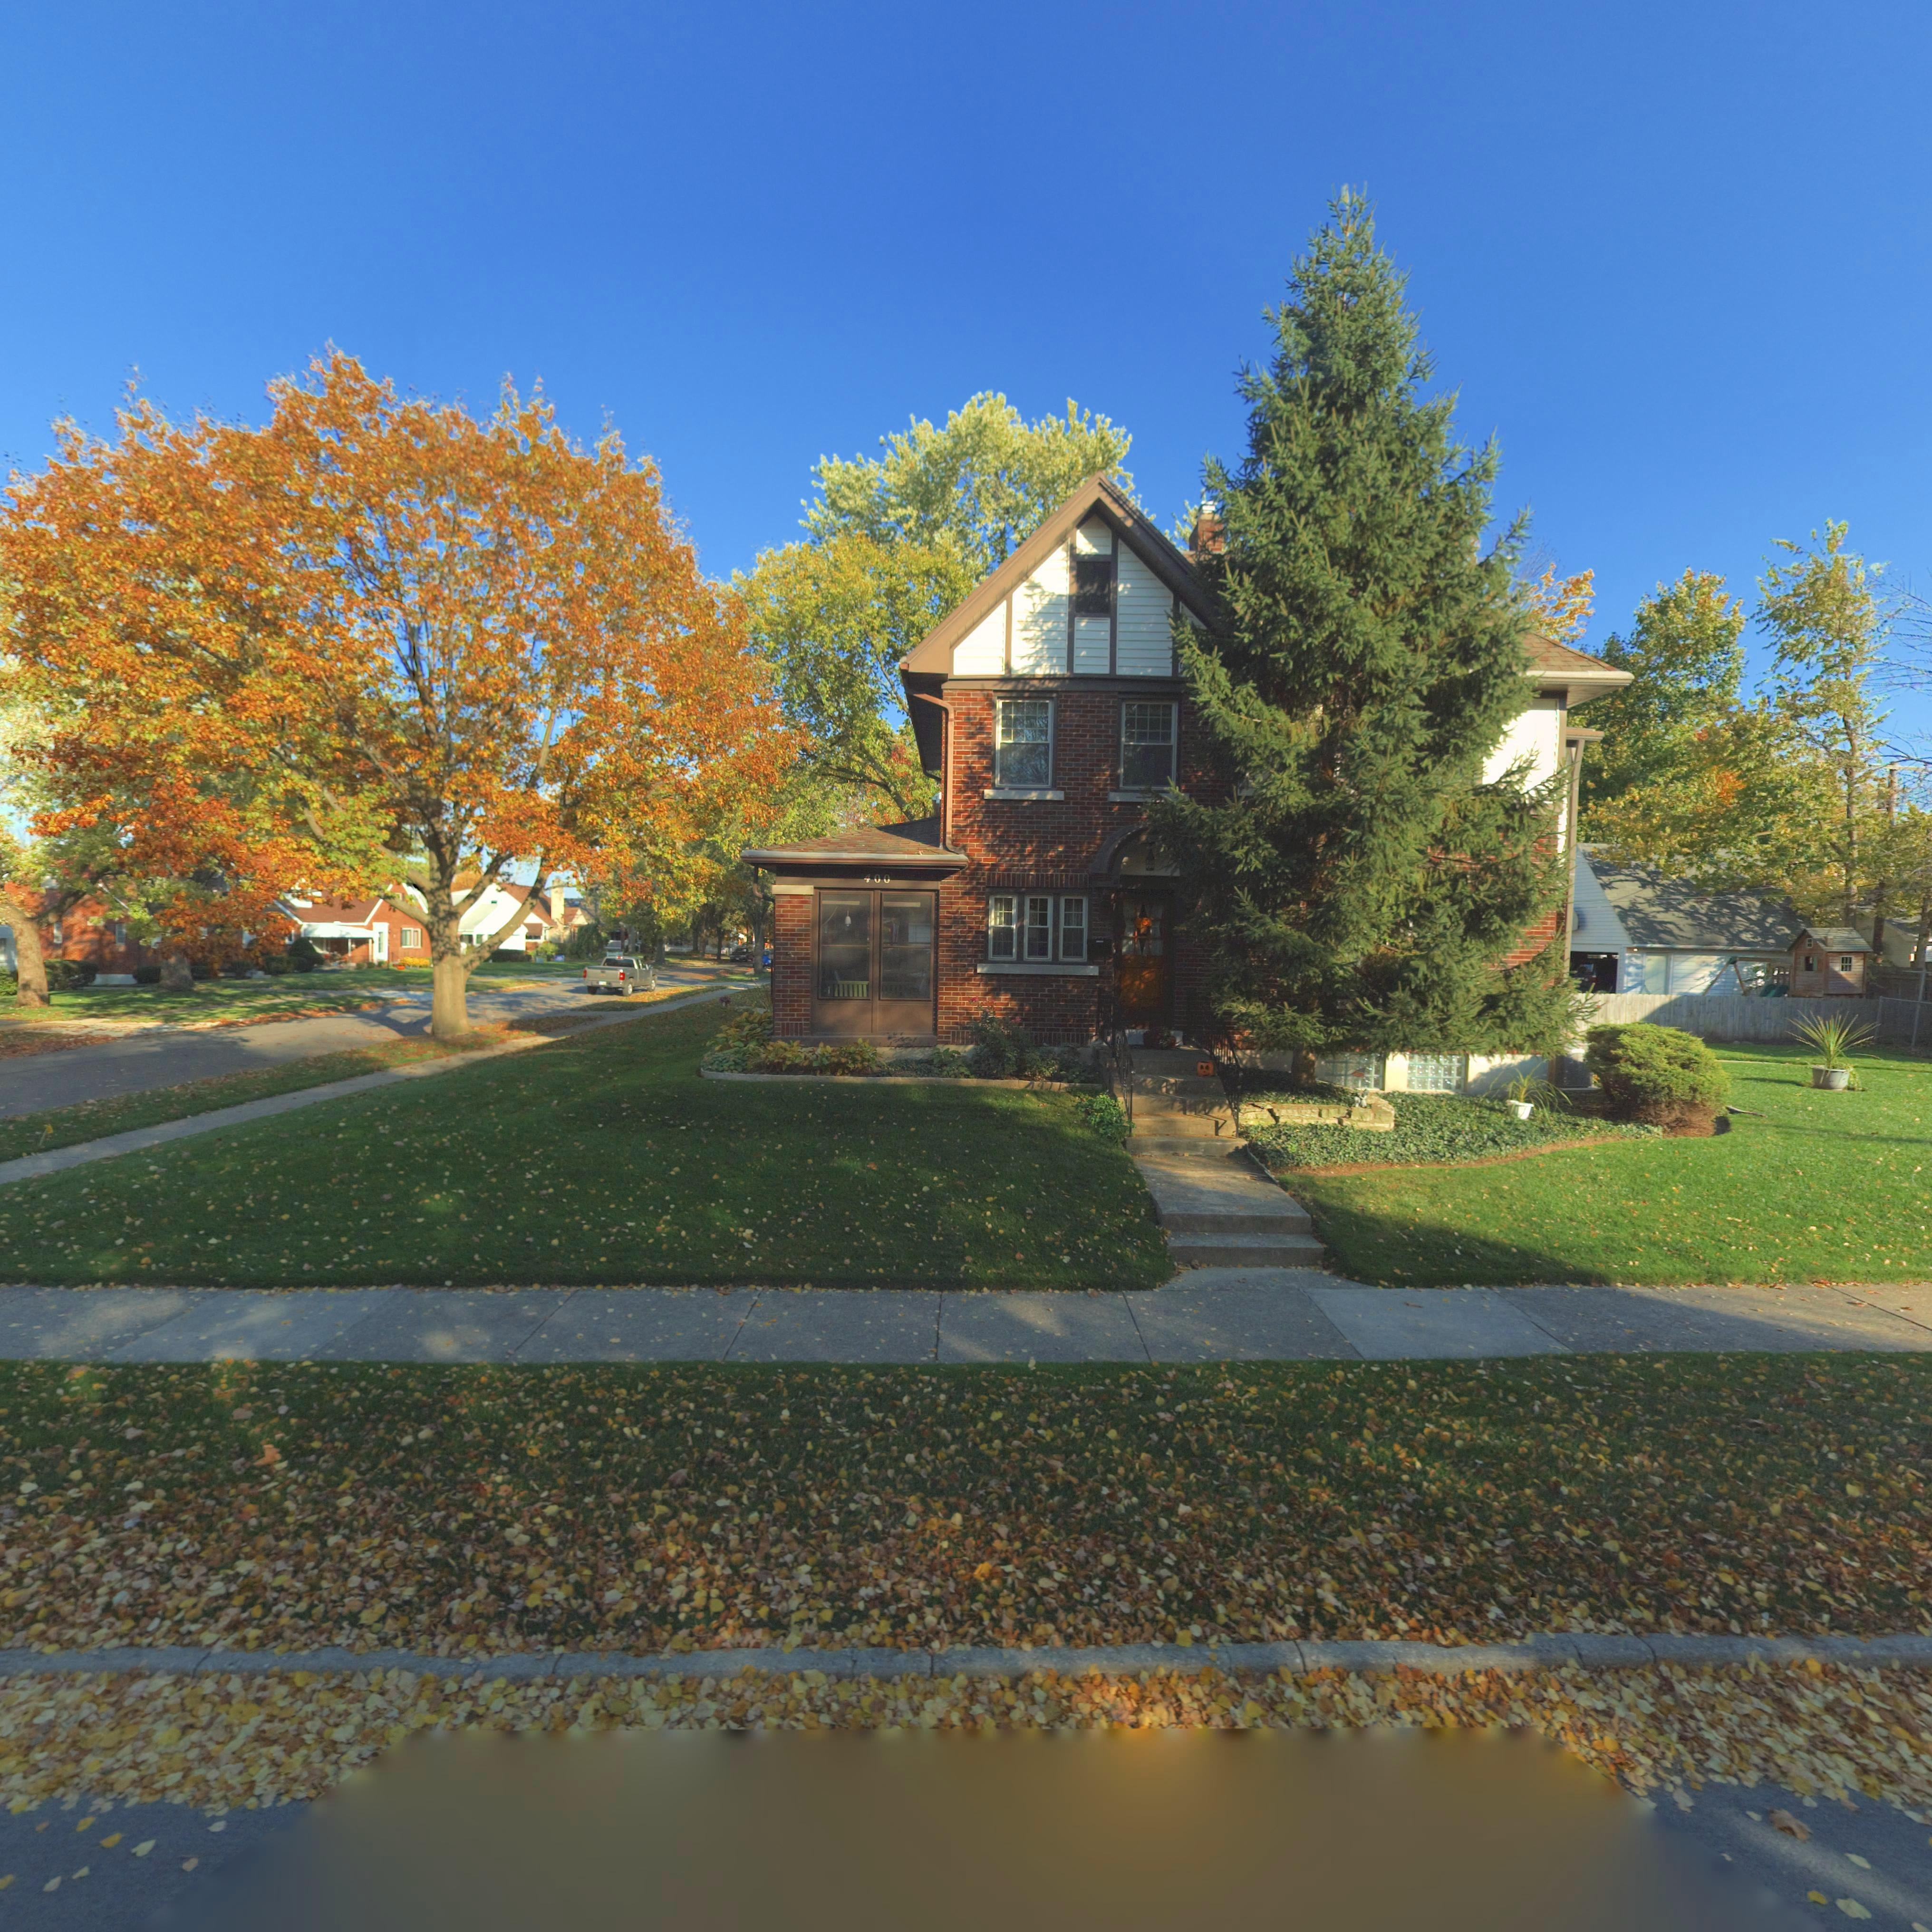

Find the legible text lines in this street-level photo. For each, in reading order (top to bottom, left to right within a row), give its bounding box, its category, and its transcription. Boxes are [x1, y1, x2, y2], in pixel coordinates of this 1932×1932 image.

[863, 872, 891, 885] StreetNumber: 400